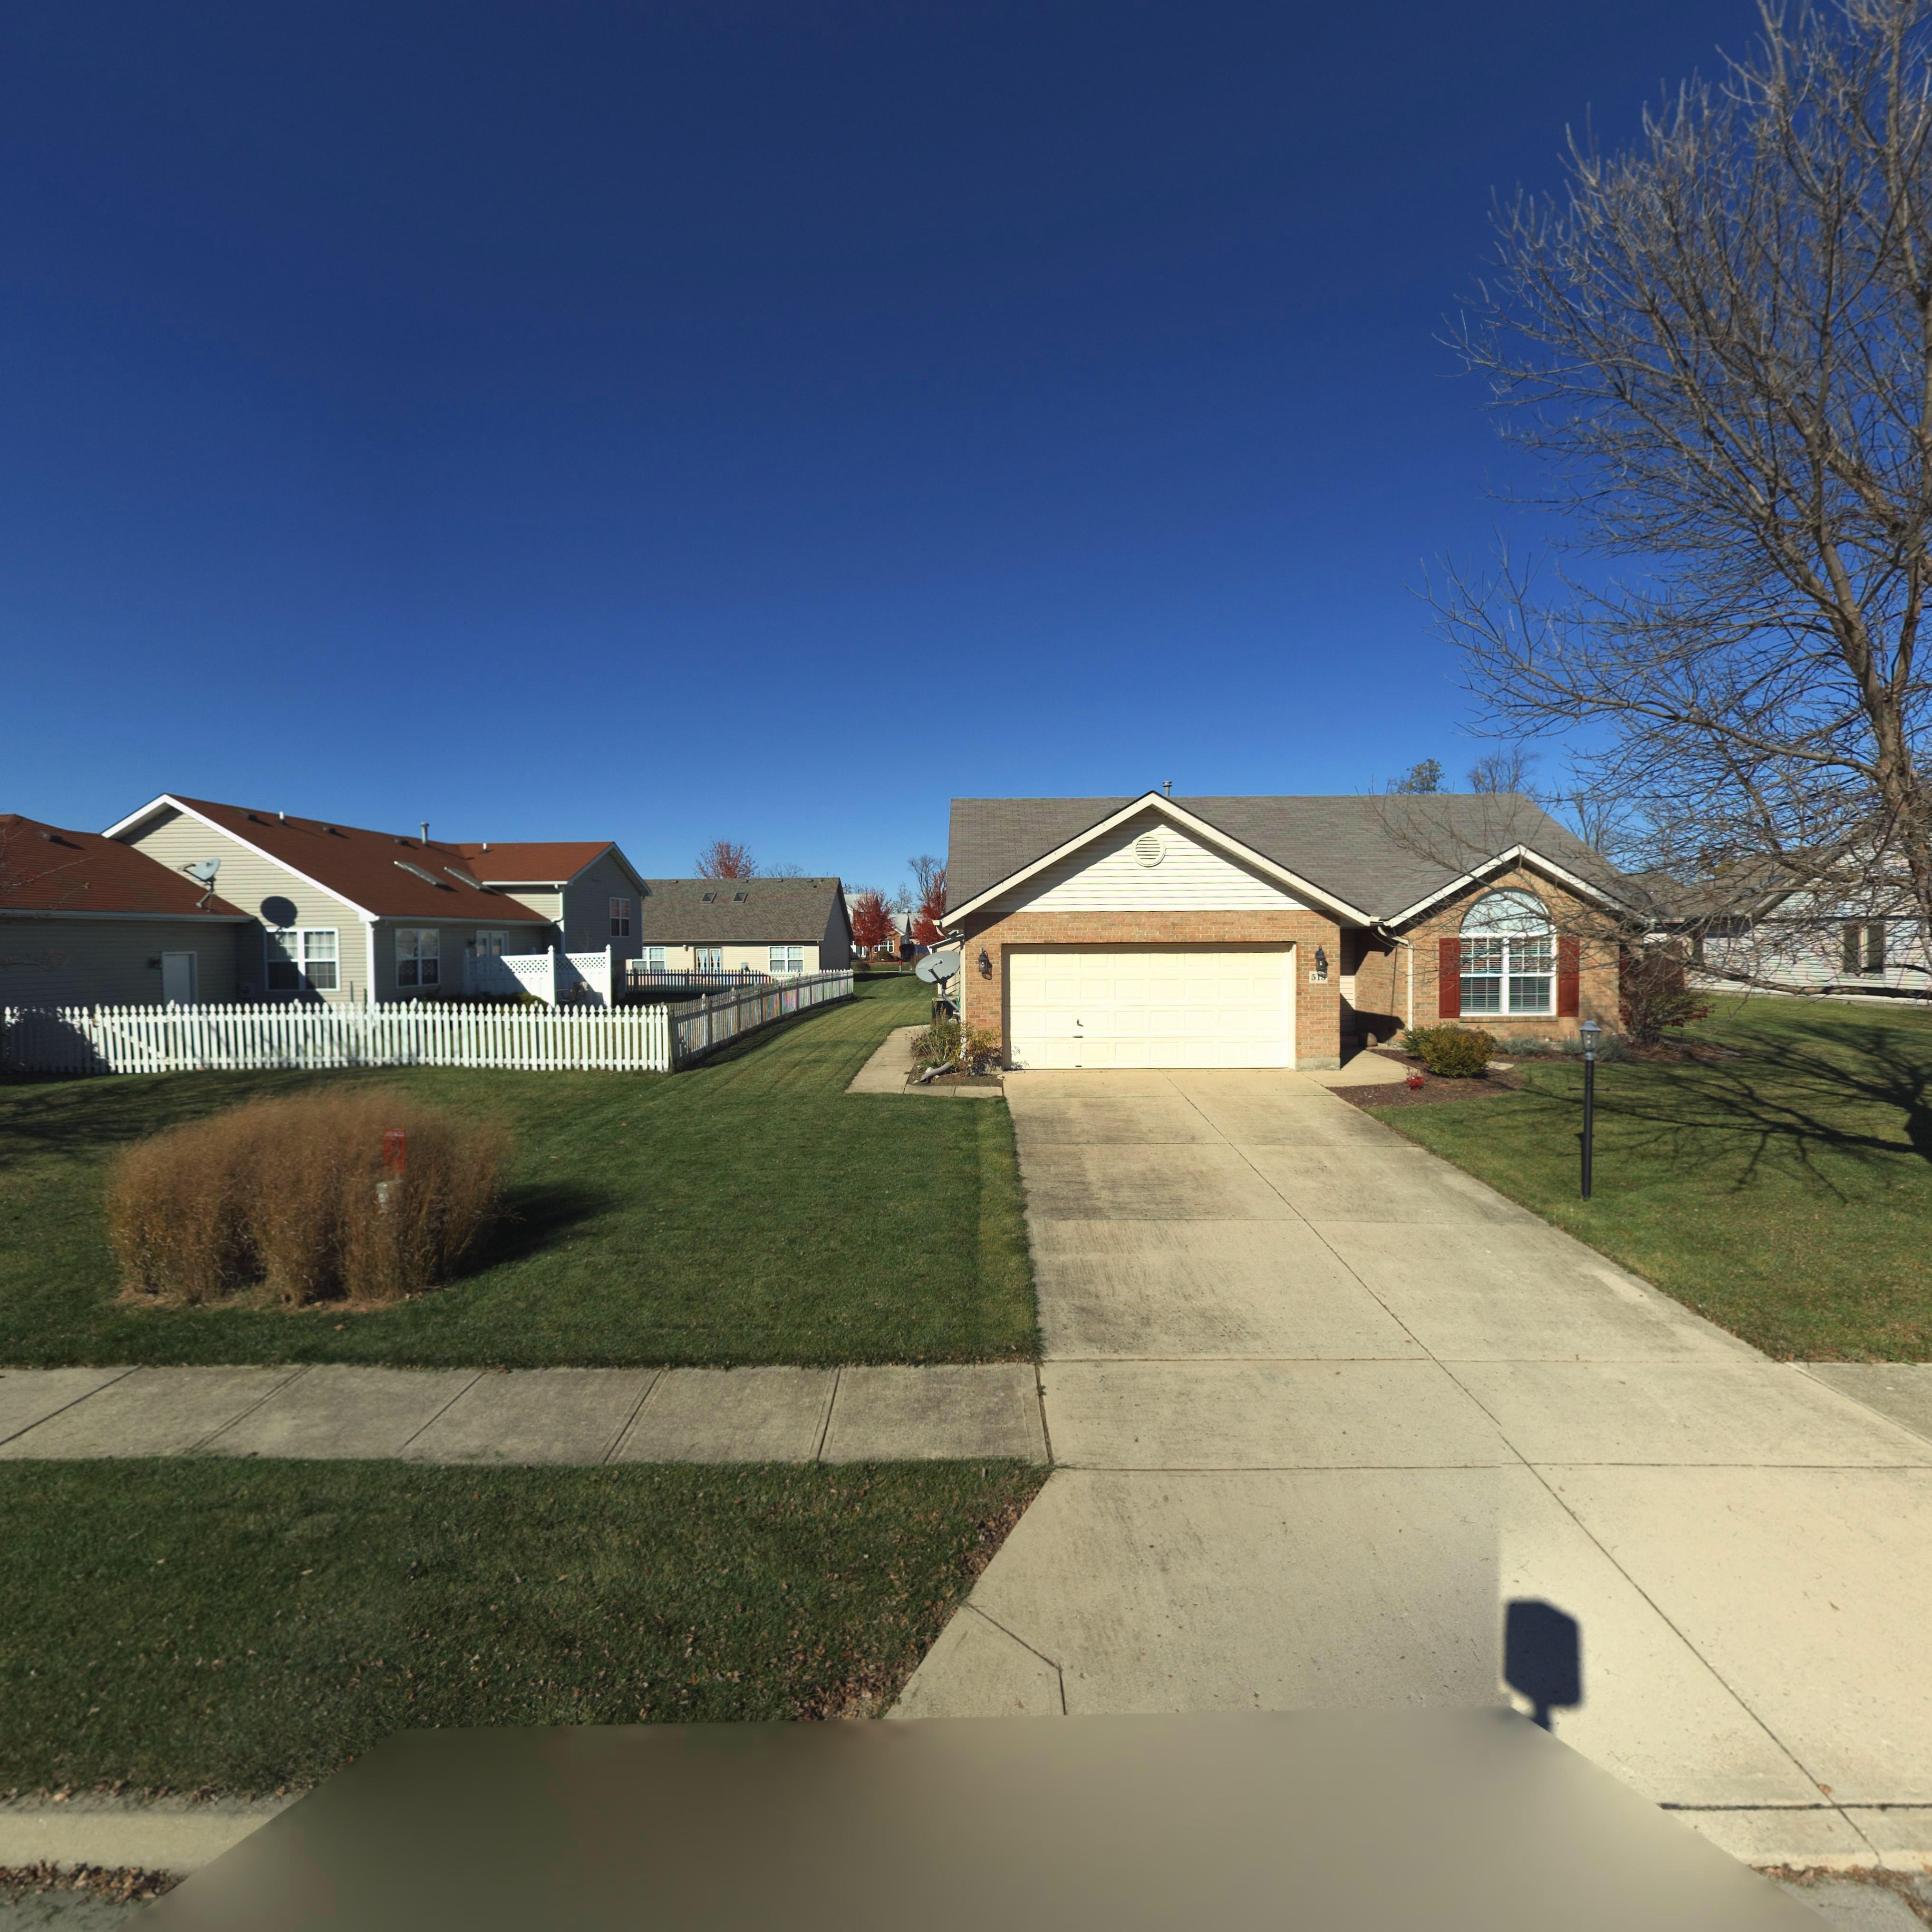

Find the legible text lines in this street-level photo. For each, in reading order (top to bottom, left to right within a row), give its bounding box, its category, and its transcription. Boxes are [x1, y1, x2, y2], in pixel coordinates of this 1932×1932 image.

[1310, 973, 1327, 982] StreetNumber: 5**